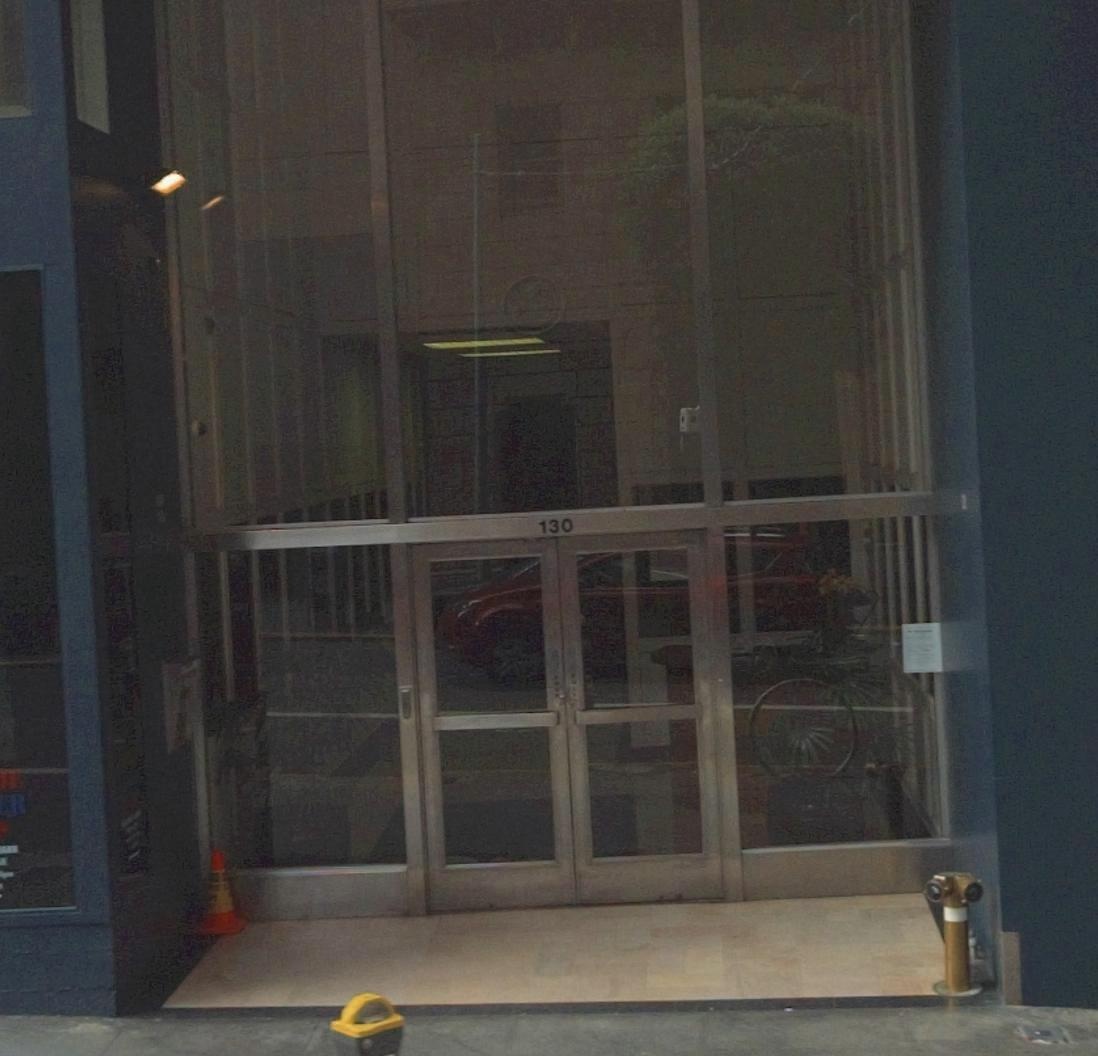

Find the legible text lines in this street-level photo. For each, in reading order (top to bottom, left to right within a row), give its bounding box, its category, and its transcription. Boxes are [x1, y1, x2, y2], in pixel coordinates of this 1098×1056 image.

[537, 517, 575, 535] StreetNumber: 130